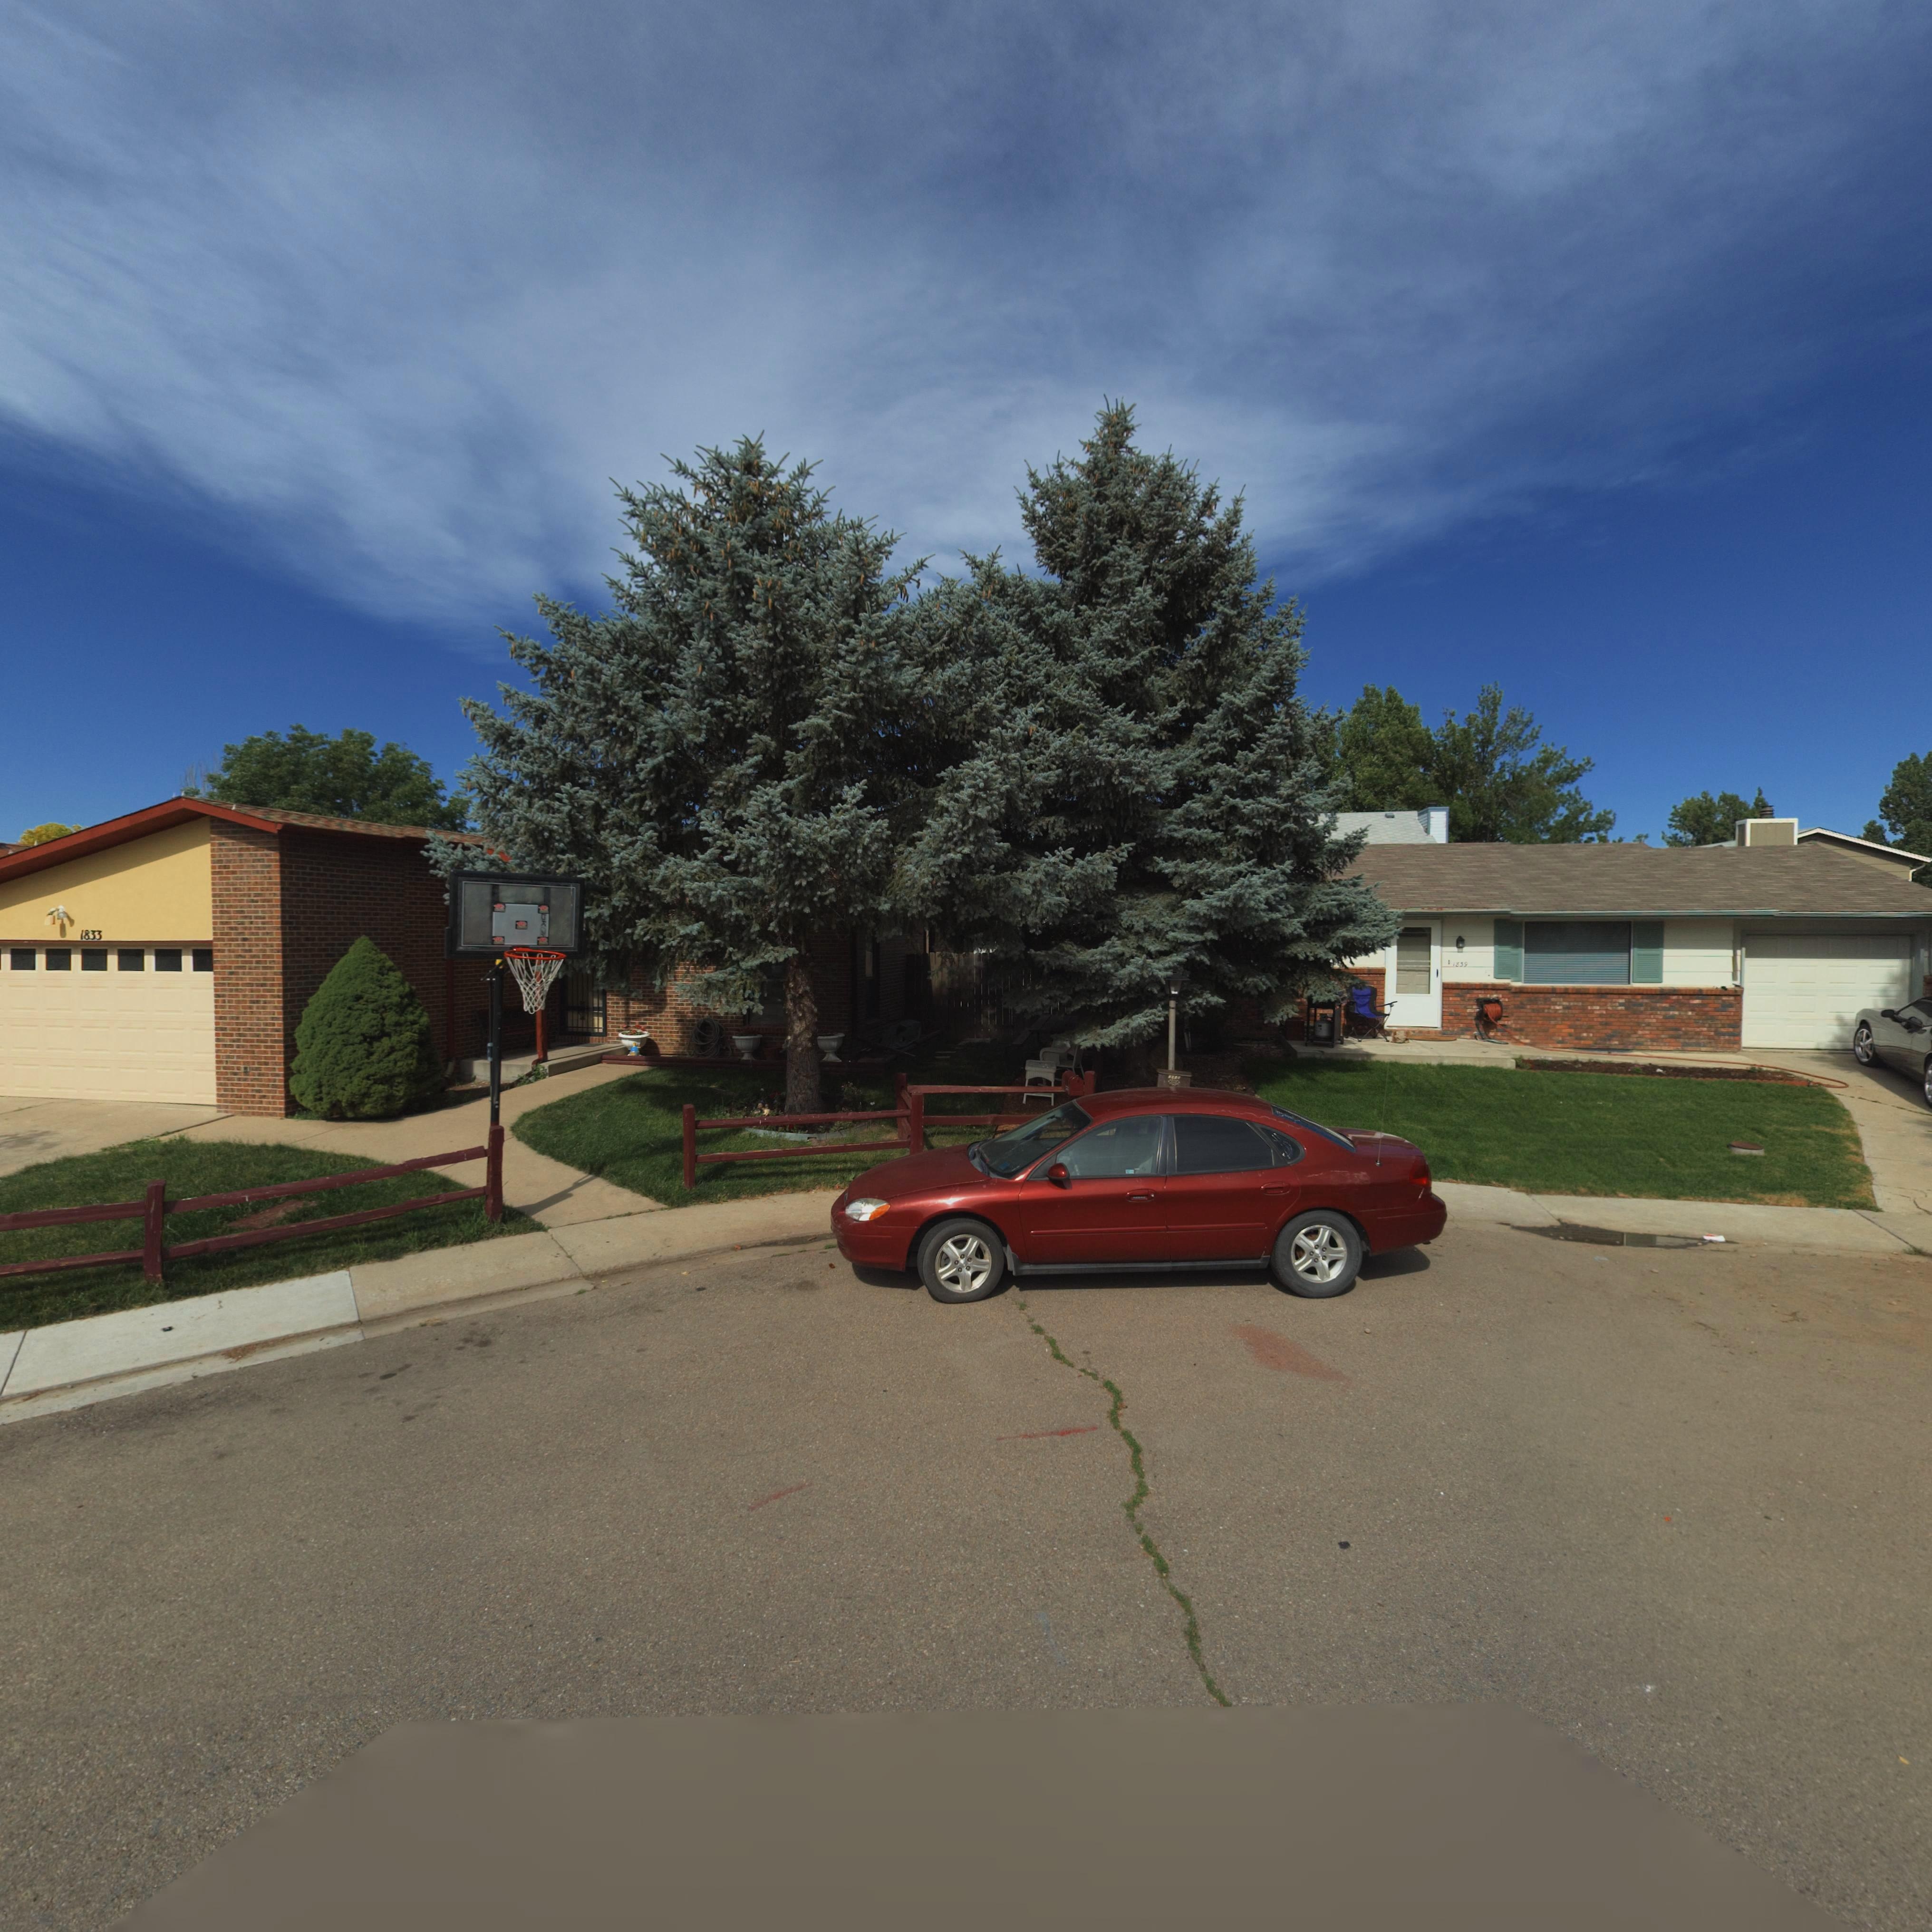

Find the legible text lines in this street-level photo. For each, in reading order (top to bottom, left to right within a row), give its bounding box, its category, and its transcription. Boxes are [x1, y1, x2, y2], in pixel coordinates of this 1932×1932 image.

[80, 929, 103, 941] StreetNumber: 1833
[1453, 961, 1468, 967] StreetNumber: 1839